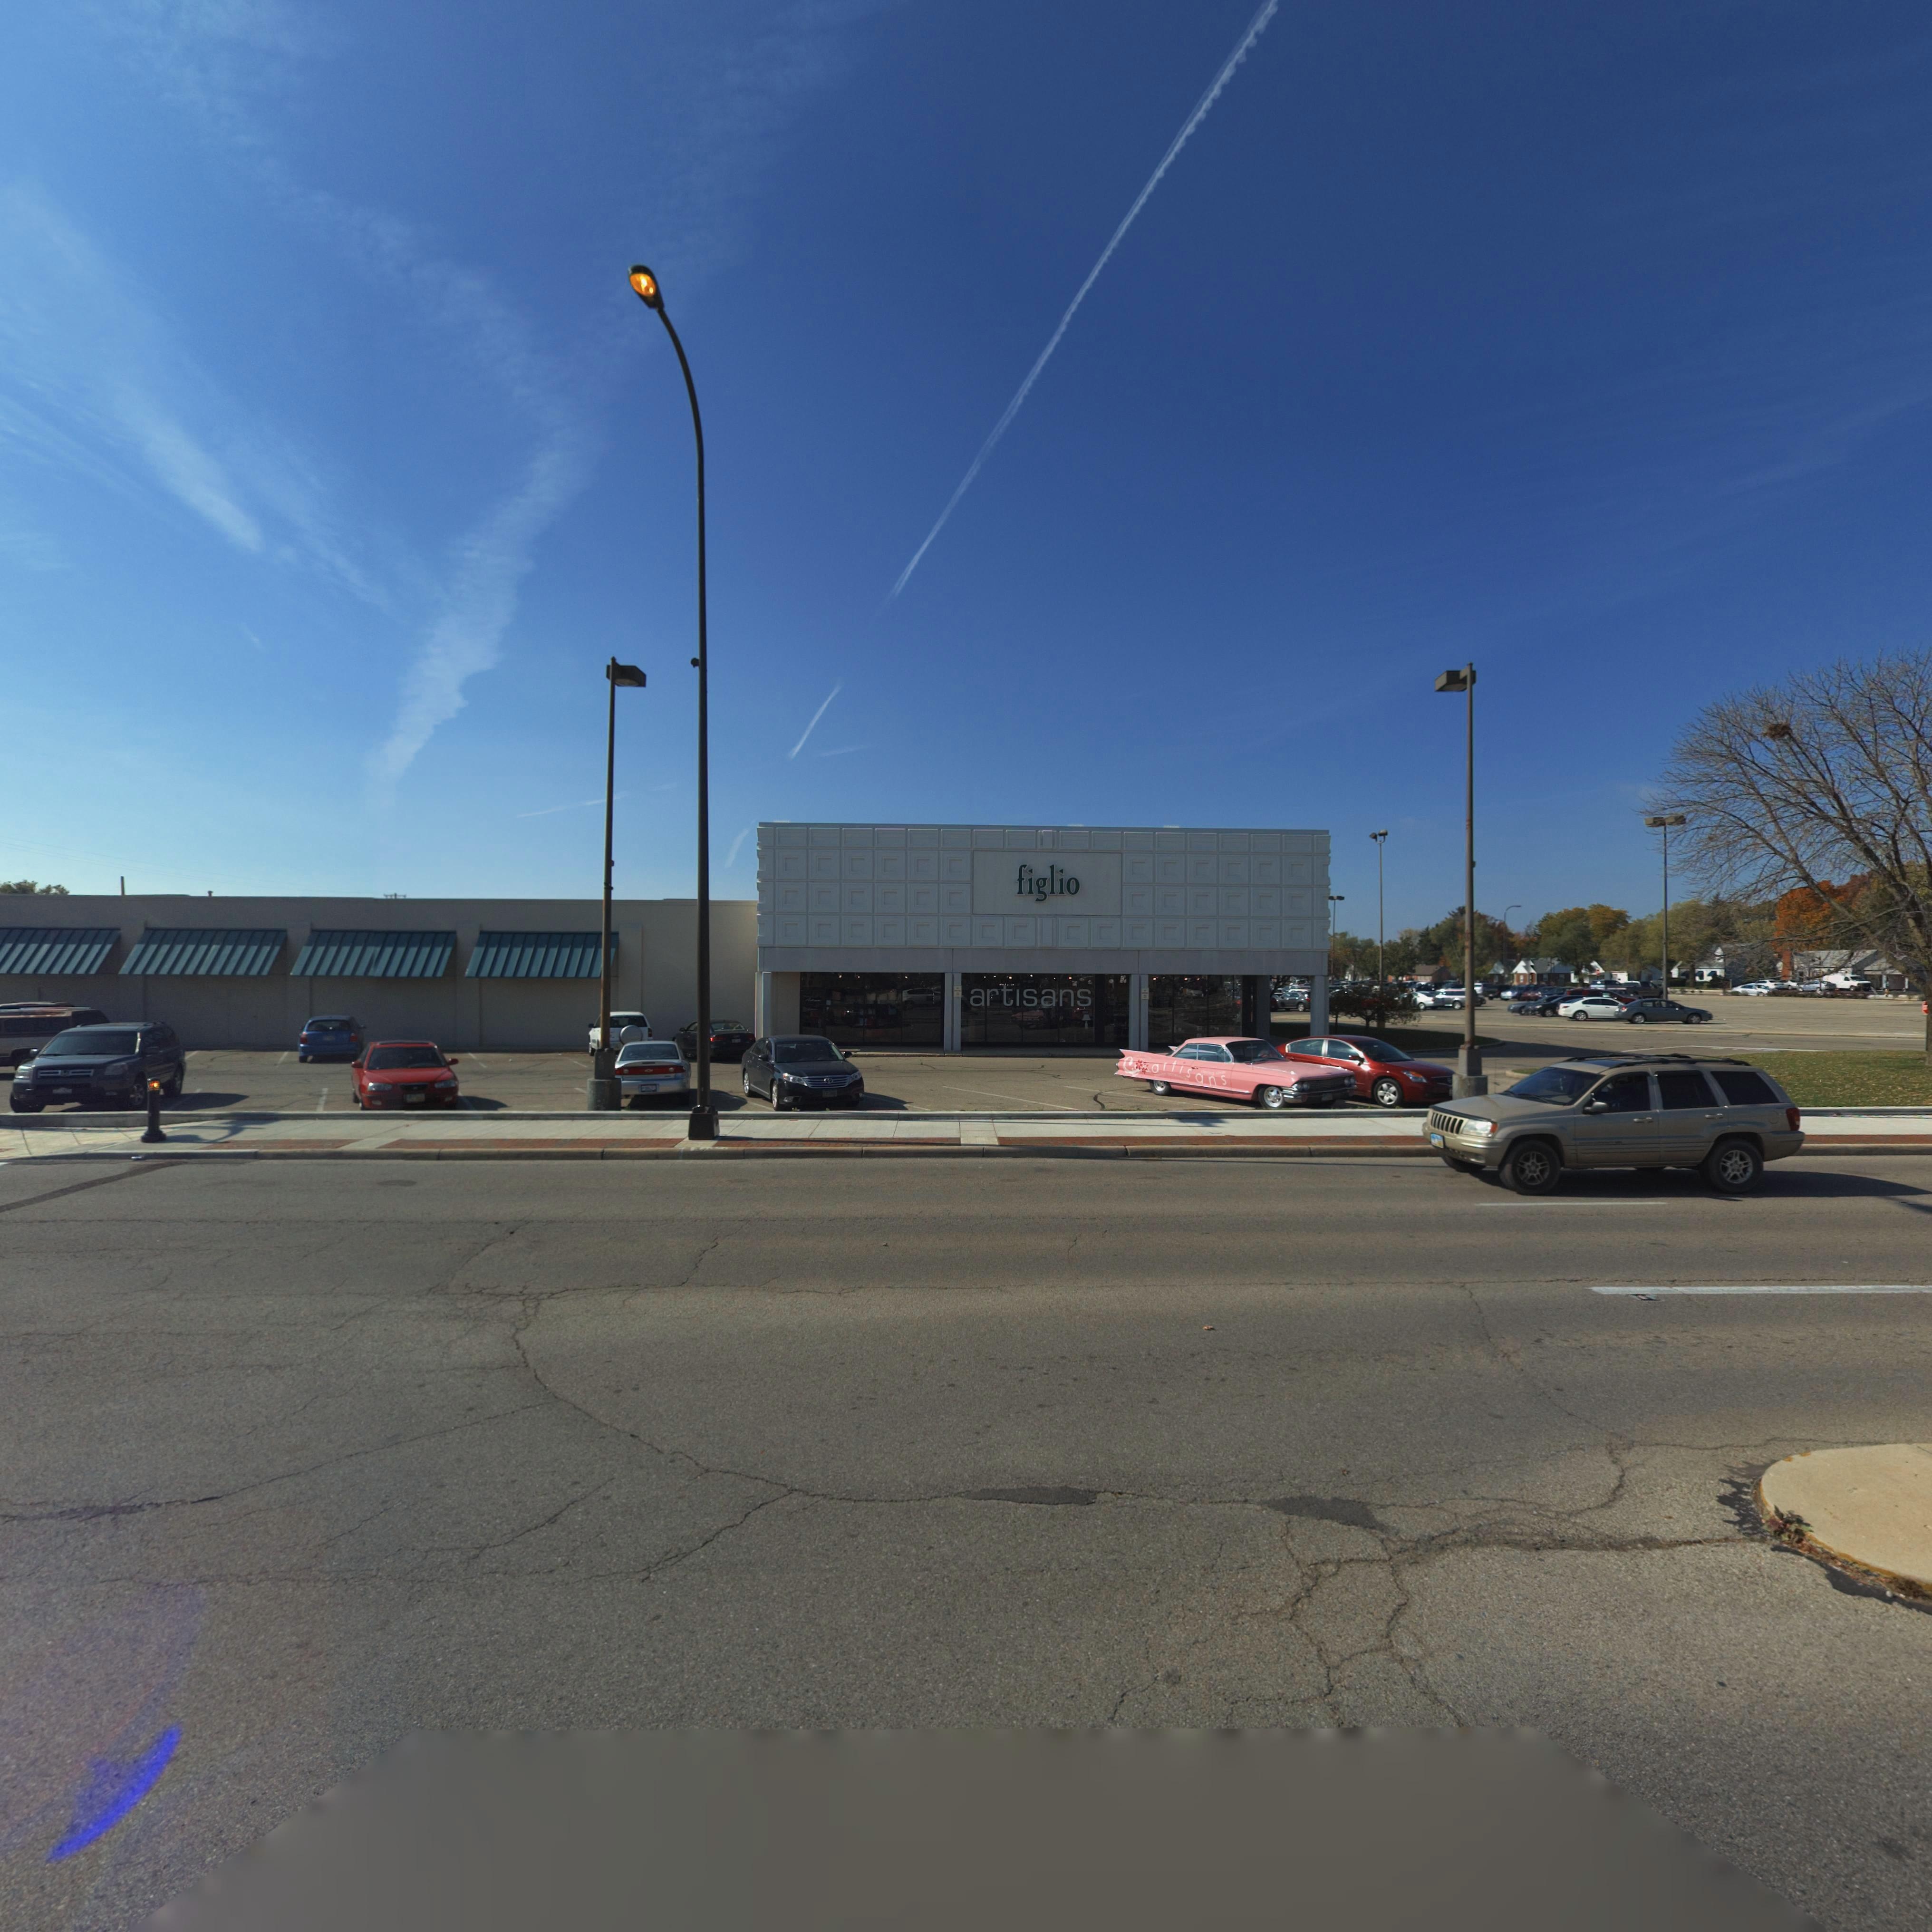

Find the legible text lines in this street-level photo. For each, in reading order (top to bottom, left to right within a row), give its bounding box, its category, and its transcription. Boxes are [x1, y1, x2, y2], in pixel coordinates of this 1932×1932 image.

[1016, 863, 1081, 902] BusinessName: figlio
[969, 984, 1092, 1007] None: artisans
[1151, 1059, 1227, 1087] None: artisans